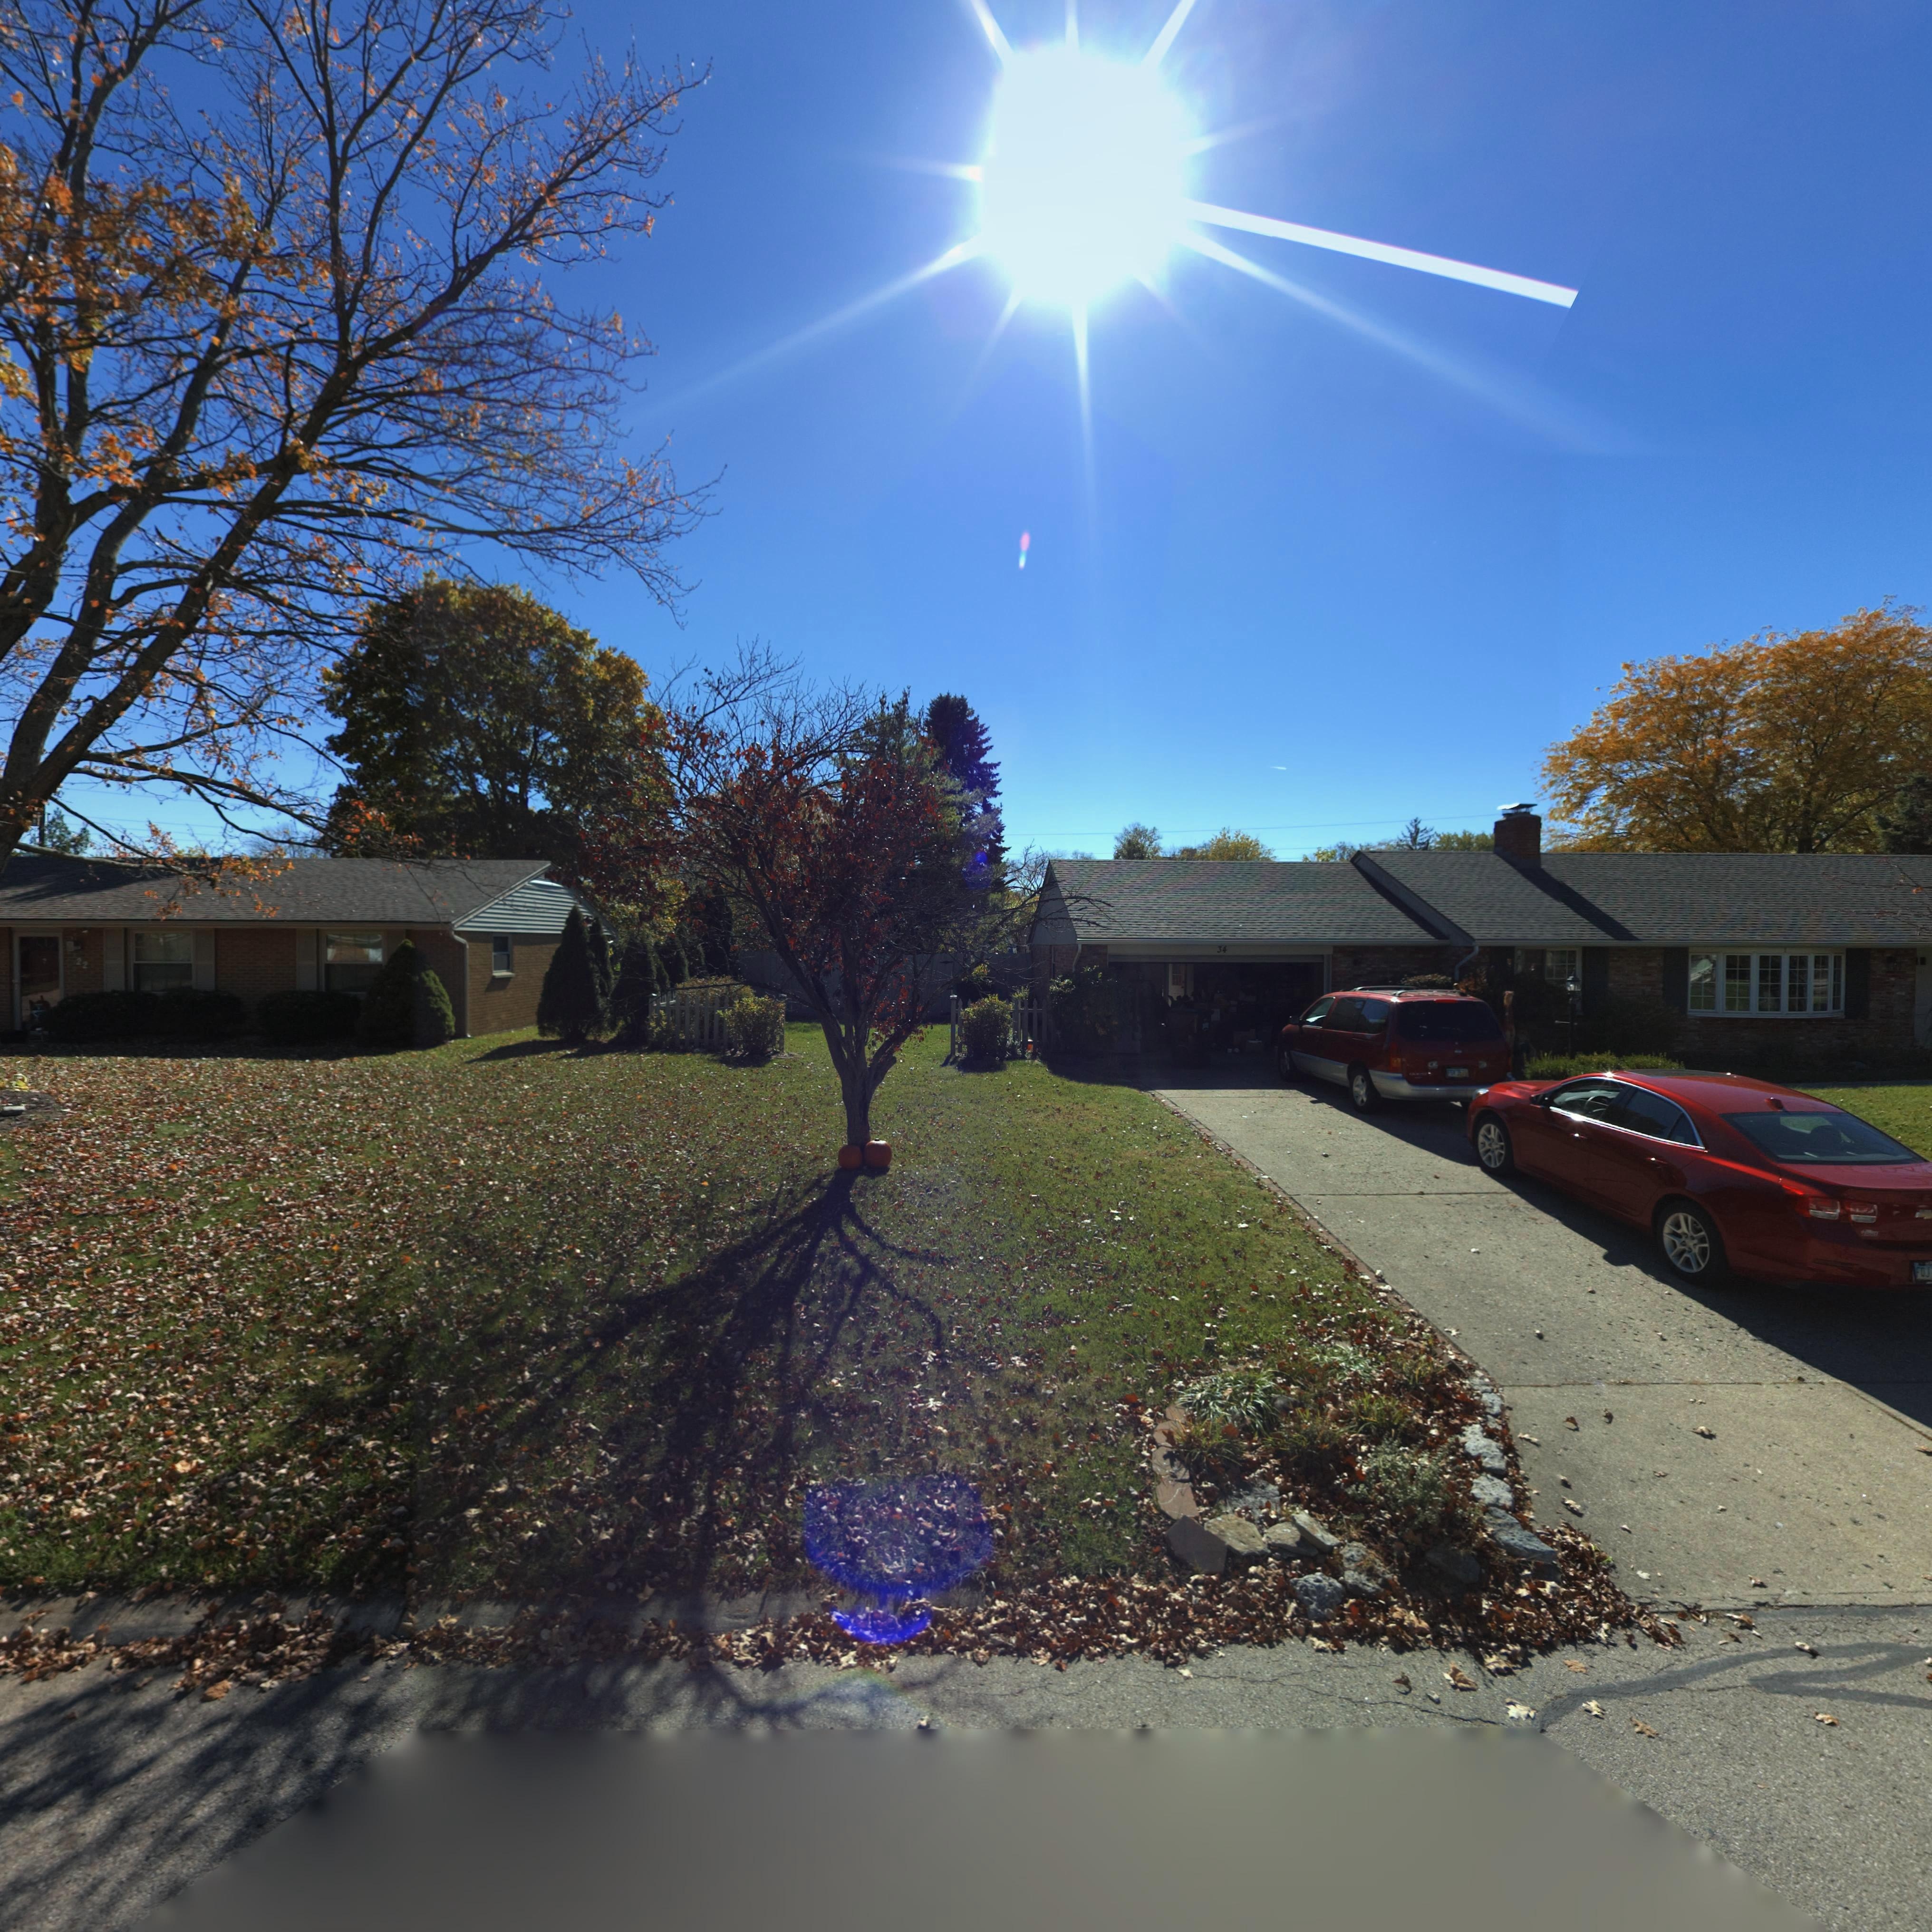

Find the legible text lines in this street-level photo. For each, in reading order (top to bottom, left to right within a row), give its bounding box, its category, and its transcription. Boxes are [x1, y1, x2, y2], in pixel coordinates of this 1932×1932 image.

[1216, 945, 1228, 954] StreetNumber: 34
[74, 956, 89, 970] StreetNumber: 22